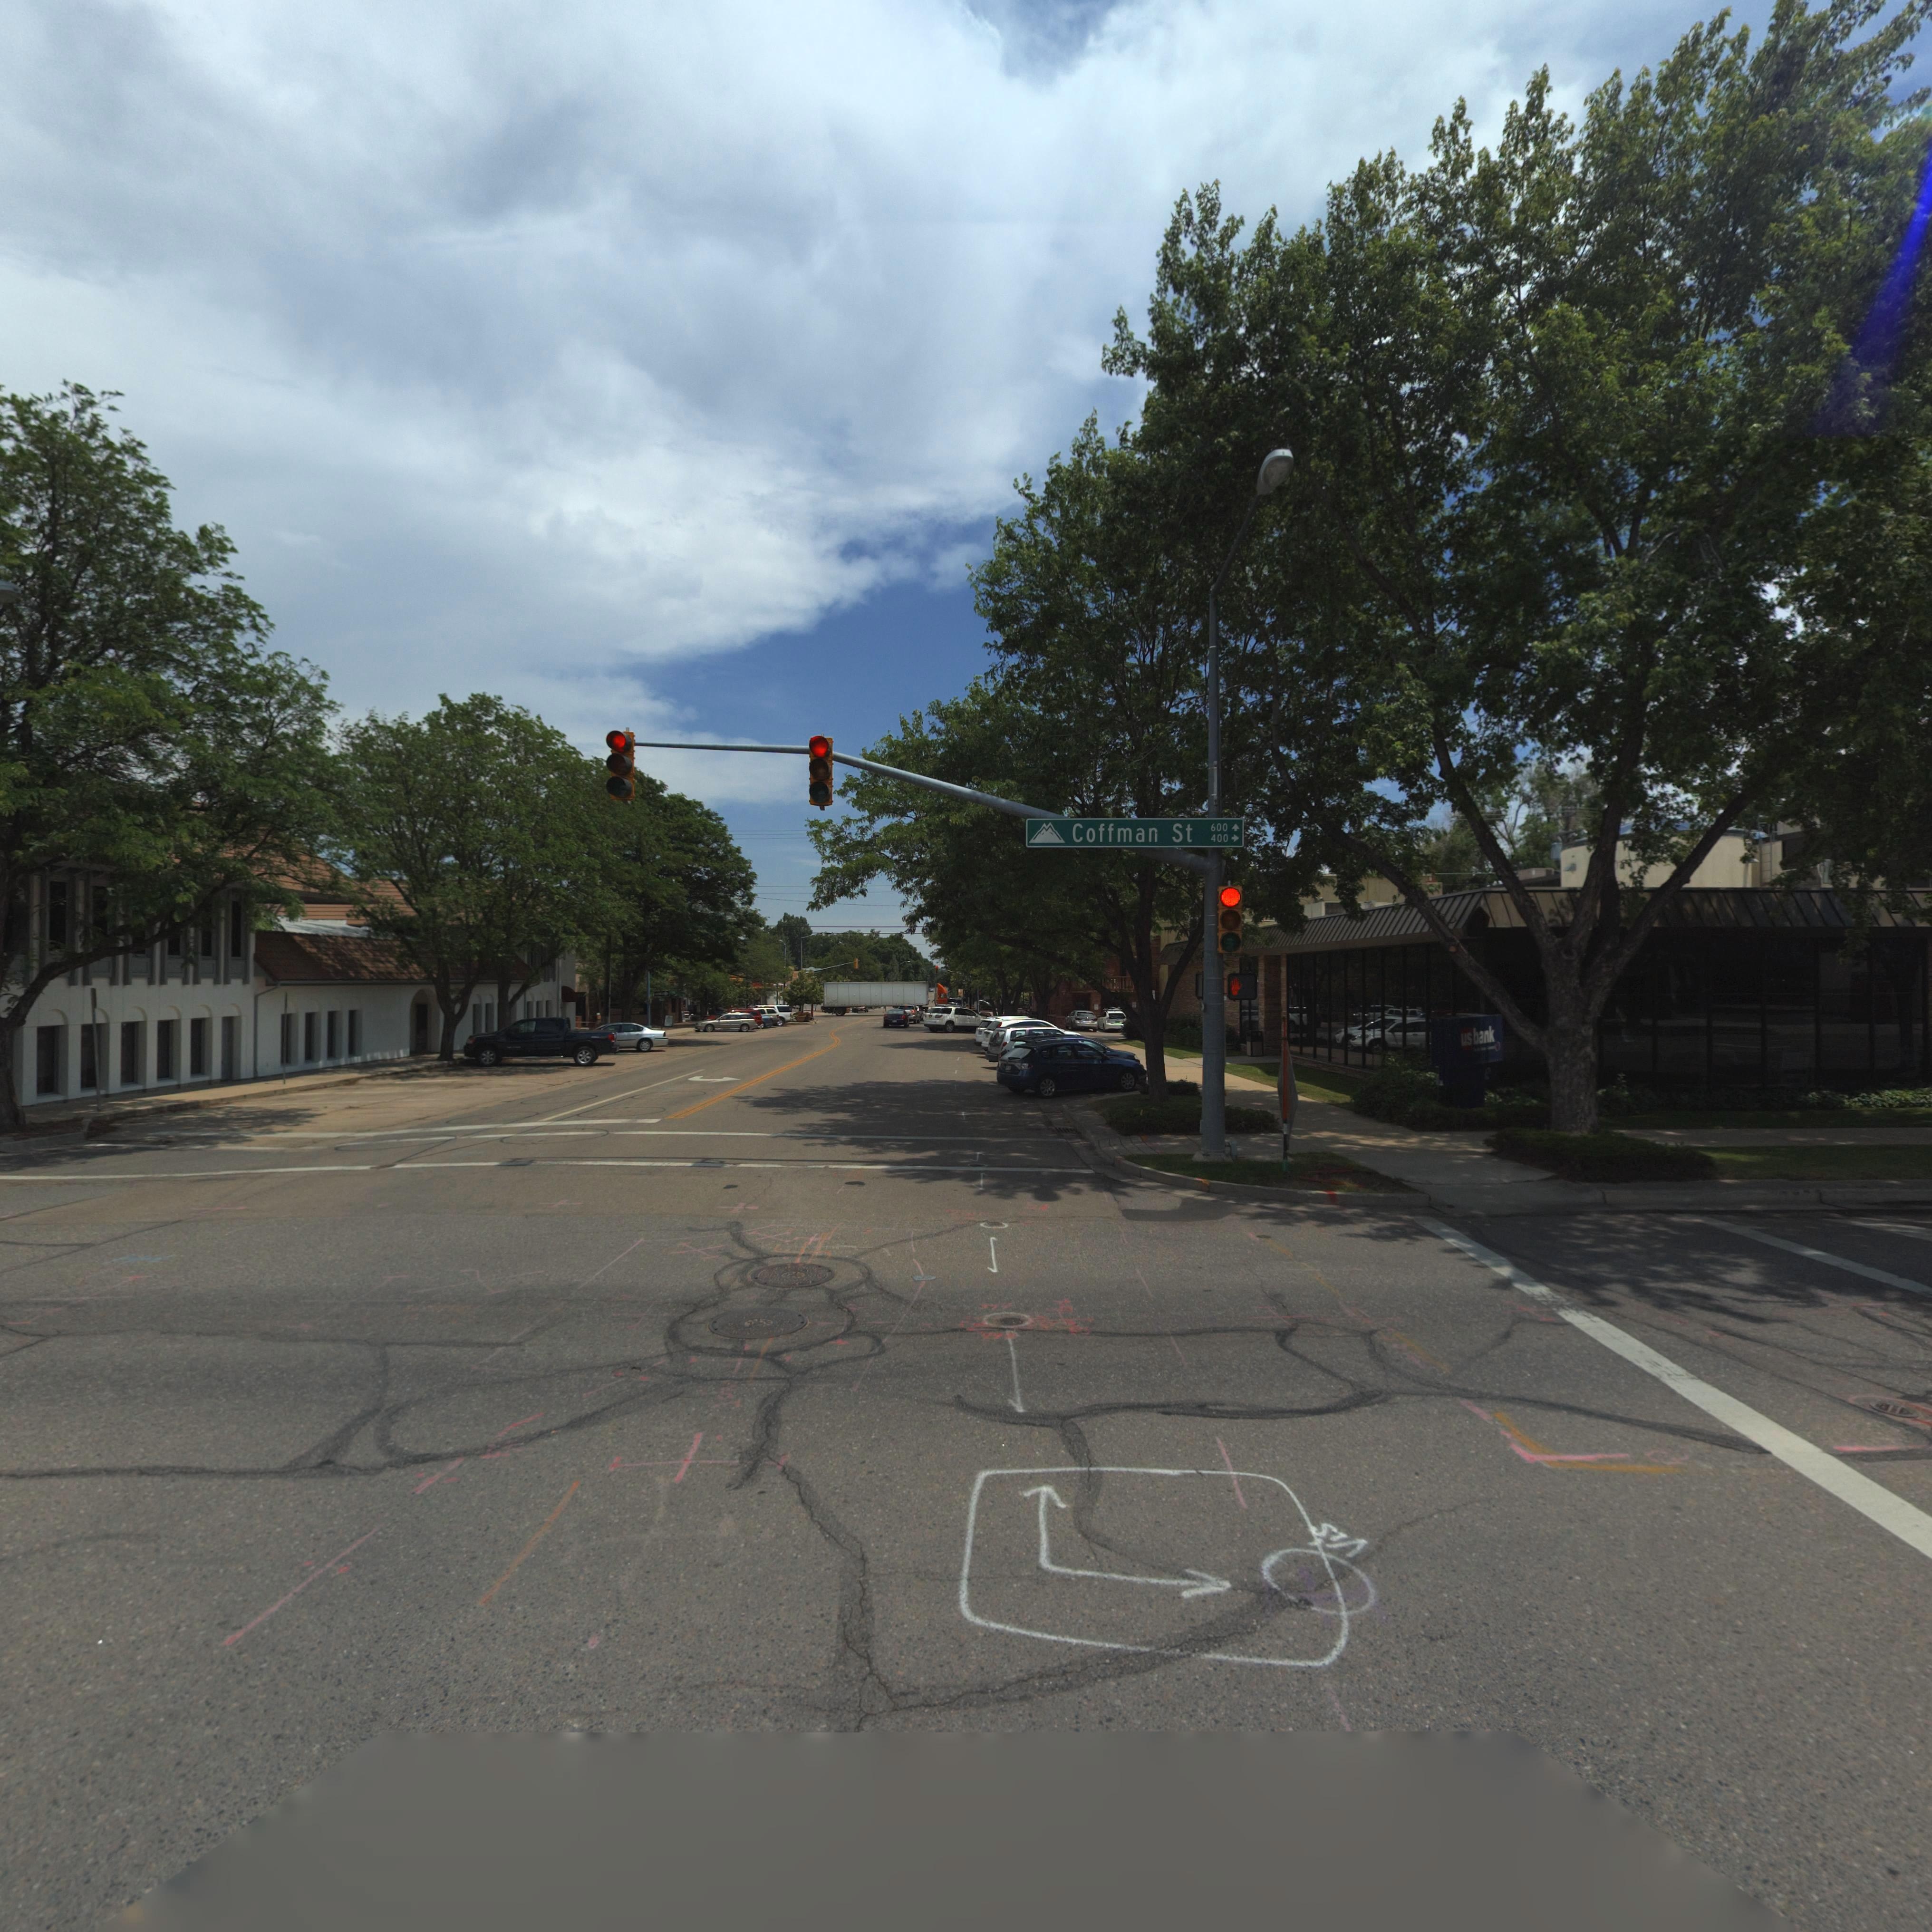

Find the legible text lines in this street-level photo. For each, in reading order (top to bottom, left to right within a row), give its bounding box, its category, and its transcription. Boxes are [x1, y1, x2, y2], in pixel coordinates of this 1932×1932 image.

[1072, 822, 1192, 842] StreetName: Coffman St
[1210, 823, 1227, 832] StreetNumberRange: 600
[1210, 833, 1238, 842] StreetNumberRange: 400->
[1461, 1025, 1495, 1046] BusinessName: usbank